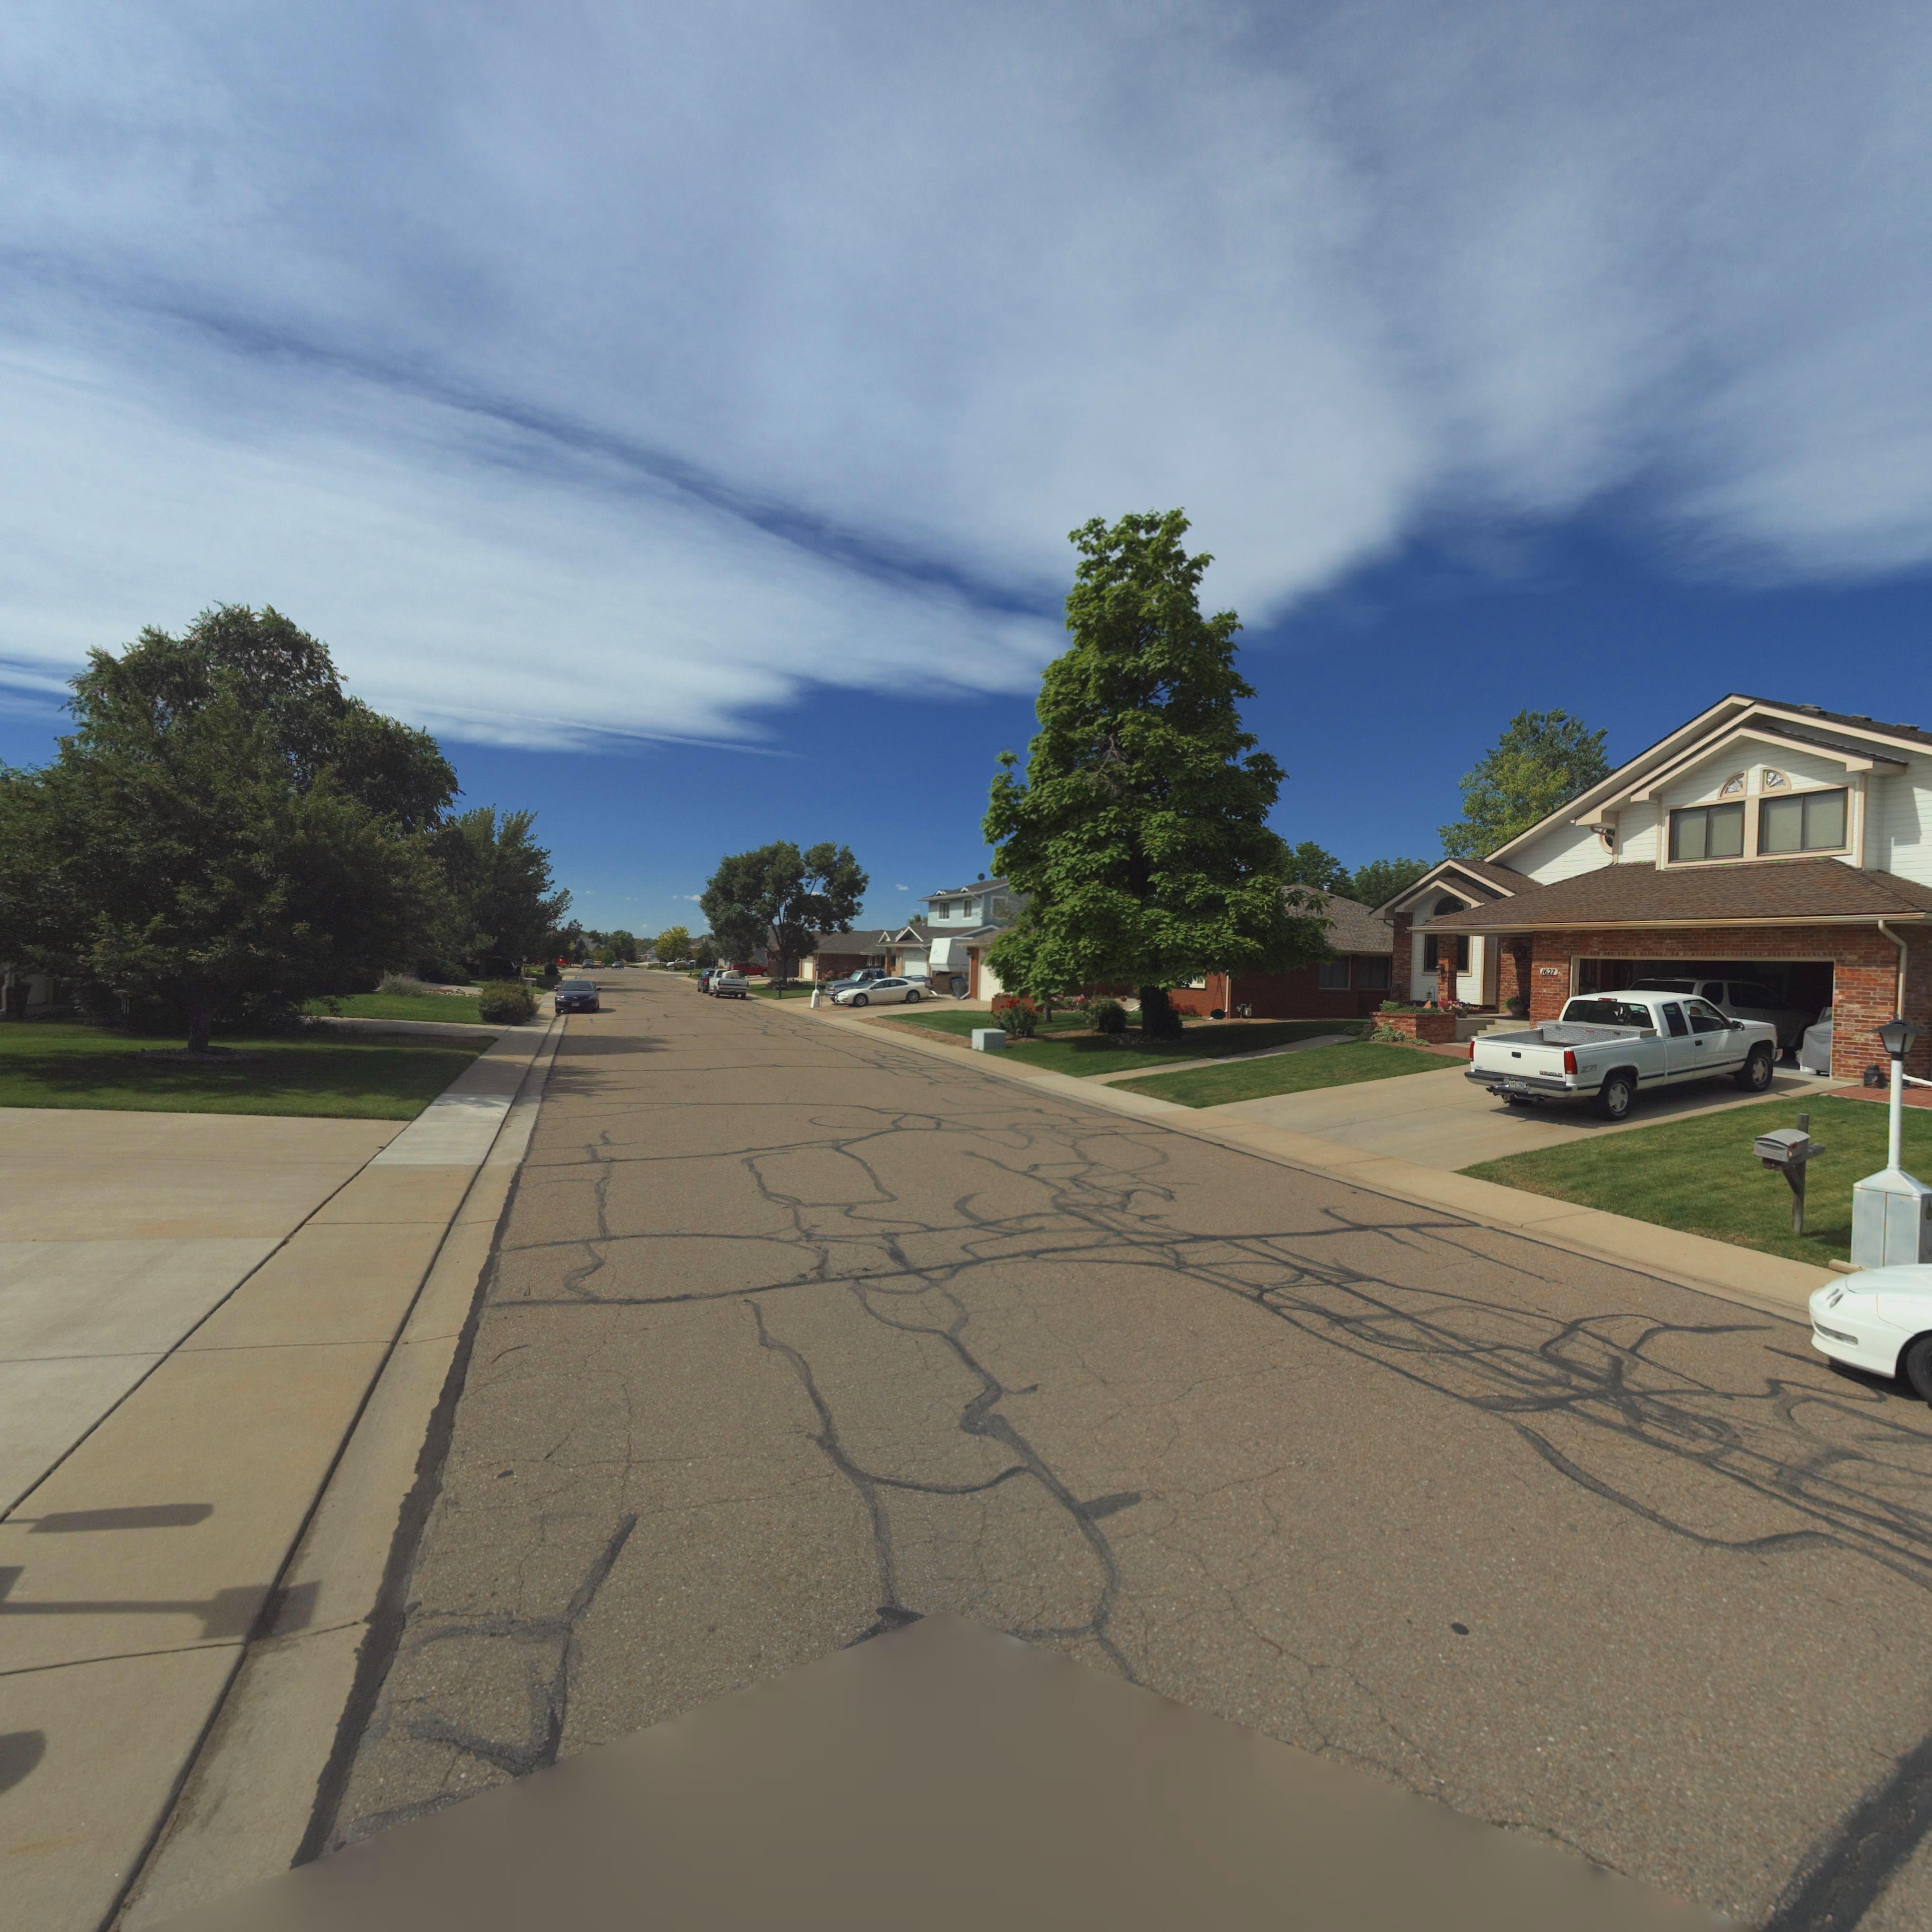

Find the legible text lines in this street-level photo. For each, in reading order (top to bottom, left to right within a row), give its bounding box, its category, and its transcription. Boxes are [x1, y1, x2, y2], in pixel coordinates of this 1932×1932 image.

[1541, 968, 1556, 975] StreetNumber: 1627